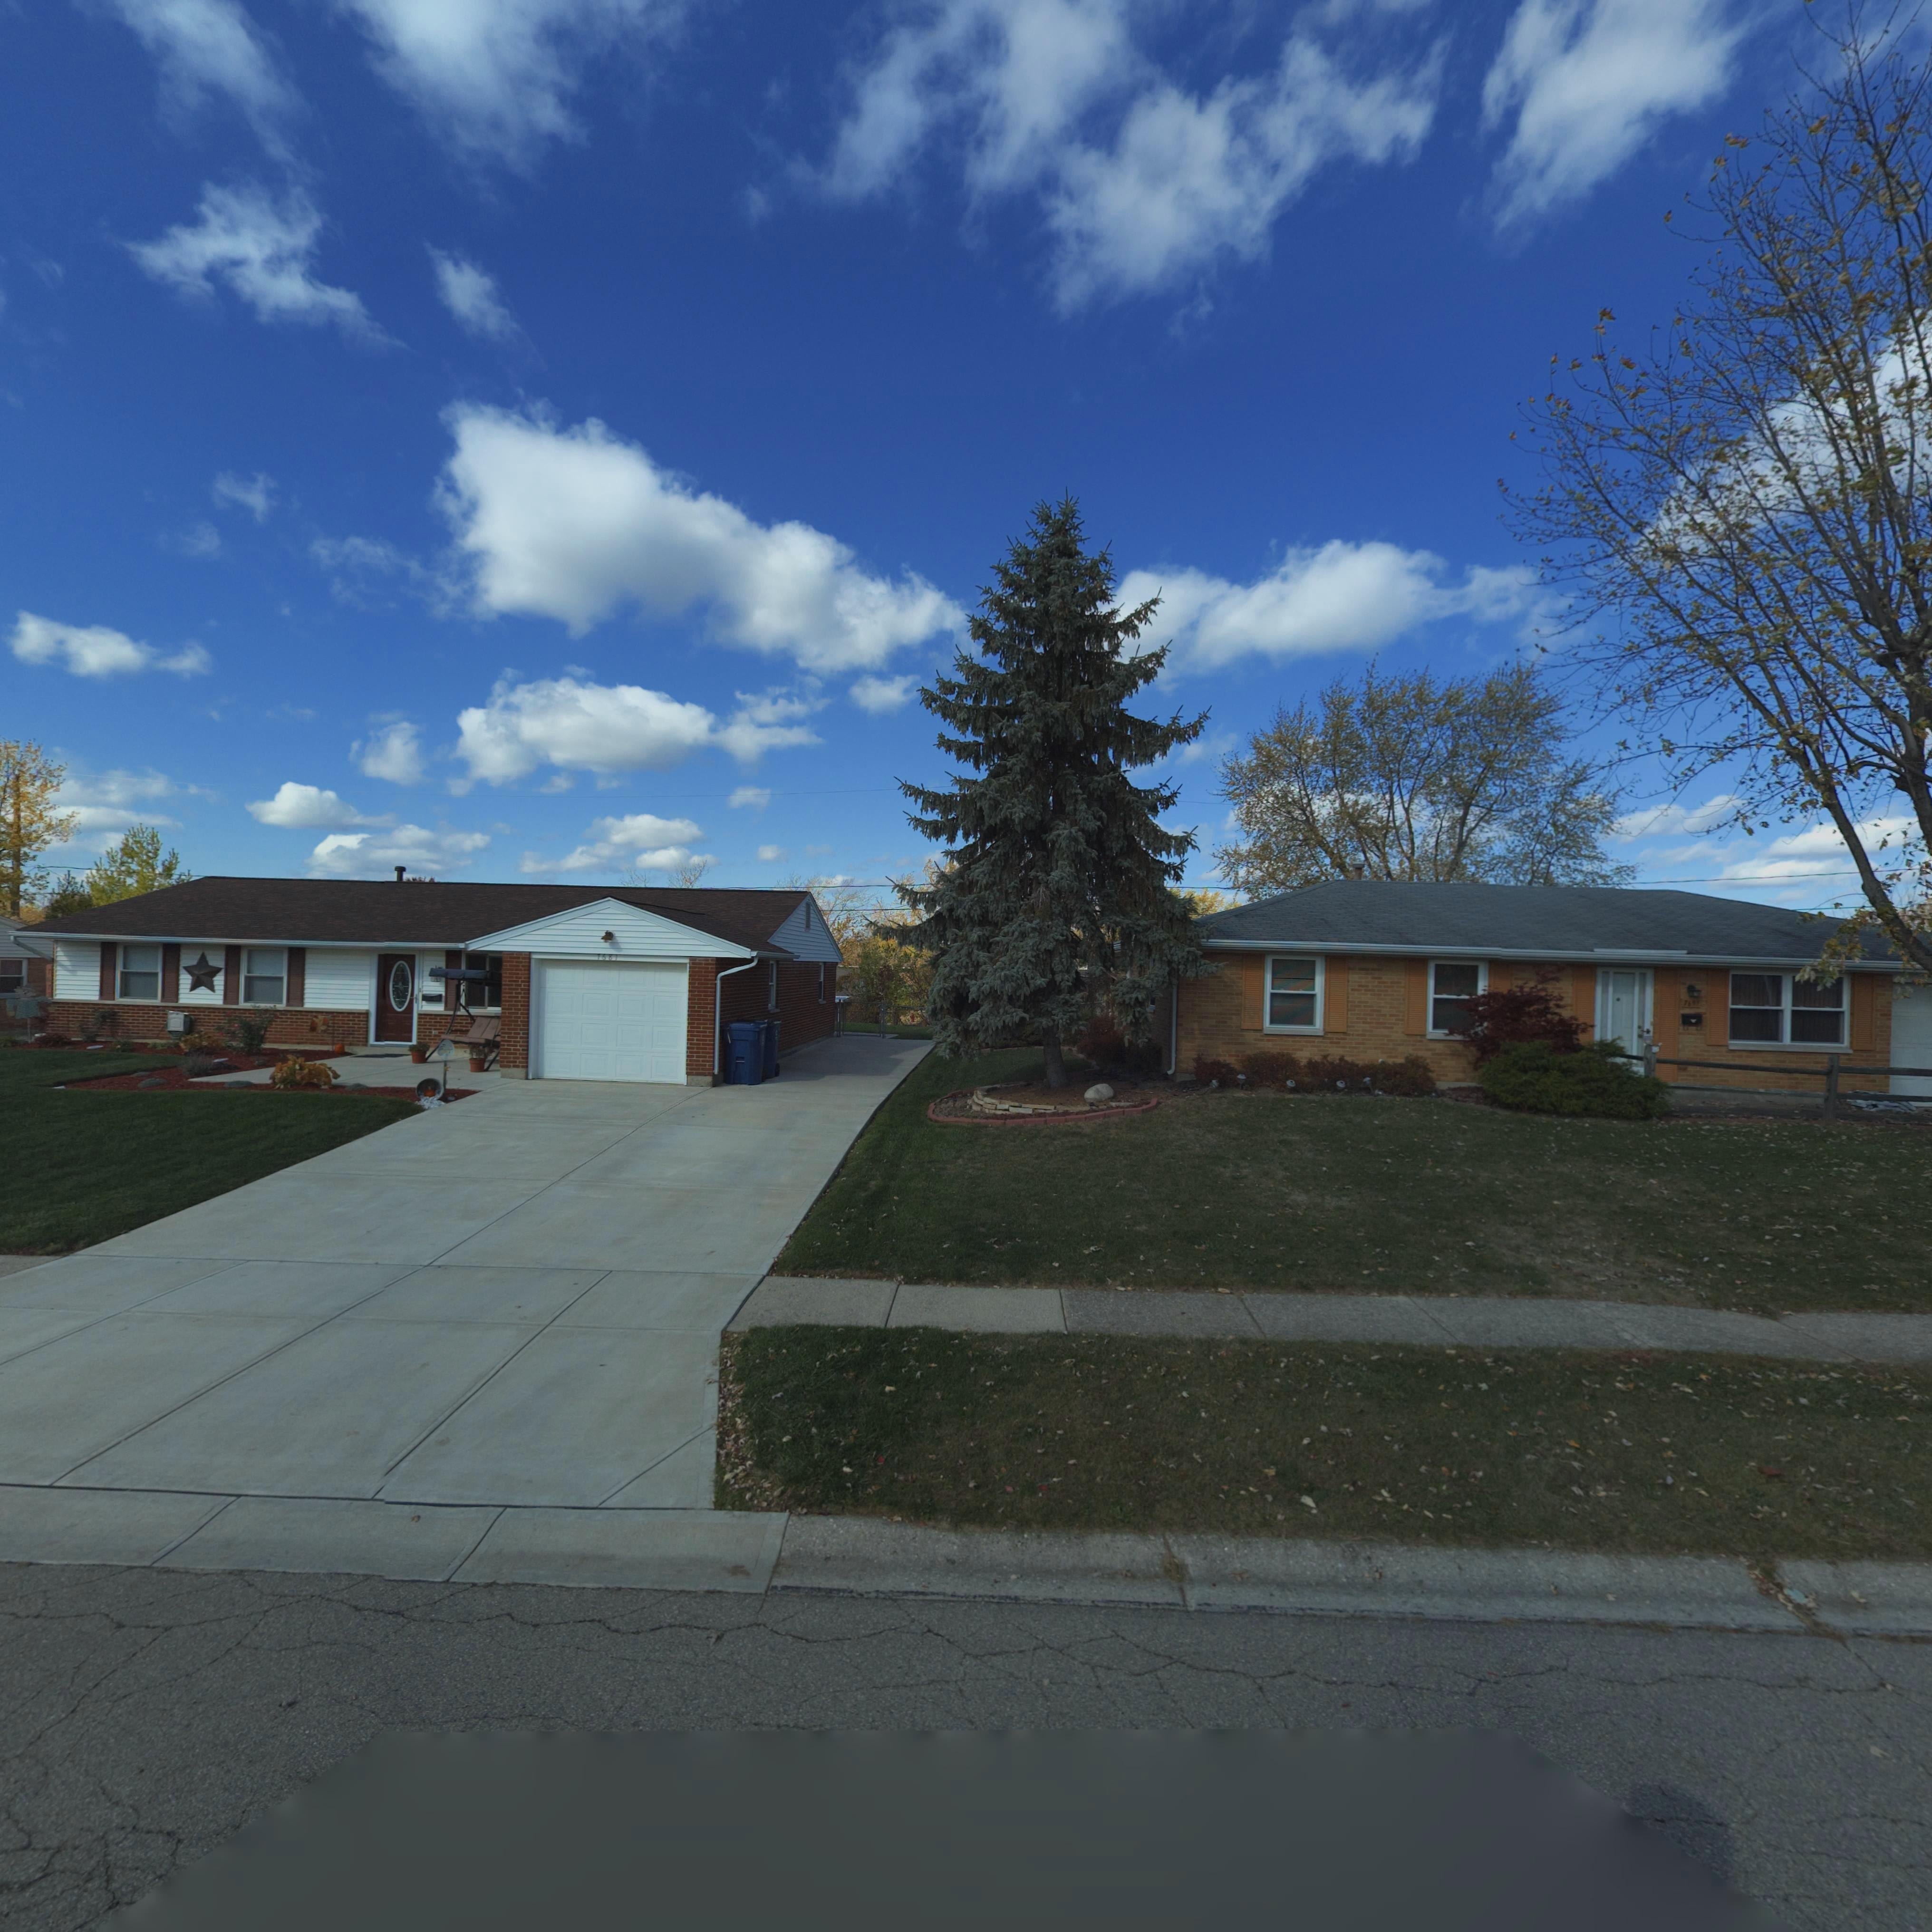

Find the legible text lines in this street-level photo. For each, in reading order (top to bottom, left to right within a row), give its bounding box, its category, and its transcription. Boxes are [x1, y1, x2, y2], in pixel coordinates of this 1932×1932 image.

[596, 953, 618, 961] StreetNumber: 7681
[1683, 999, 1700, 1006] StreetNumber: 769*